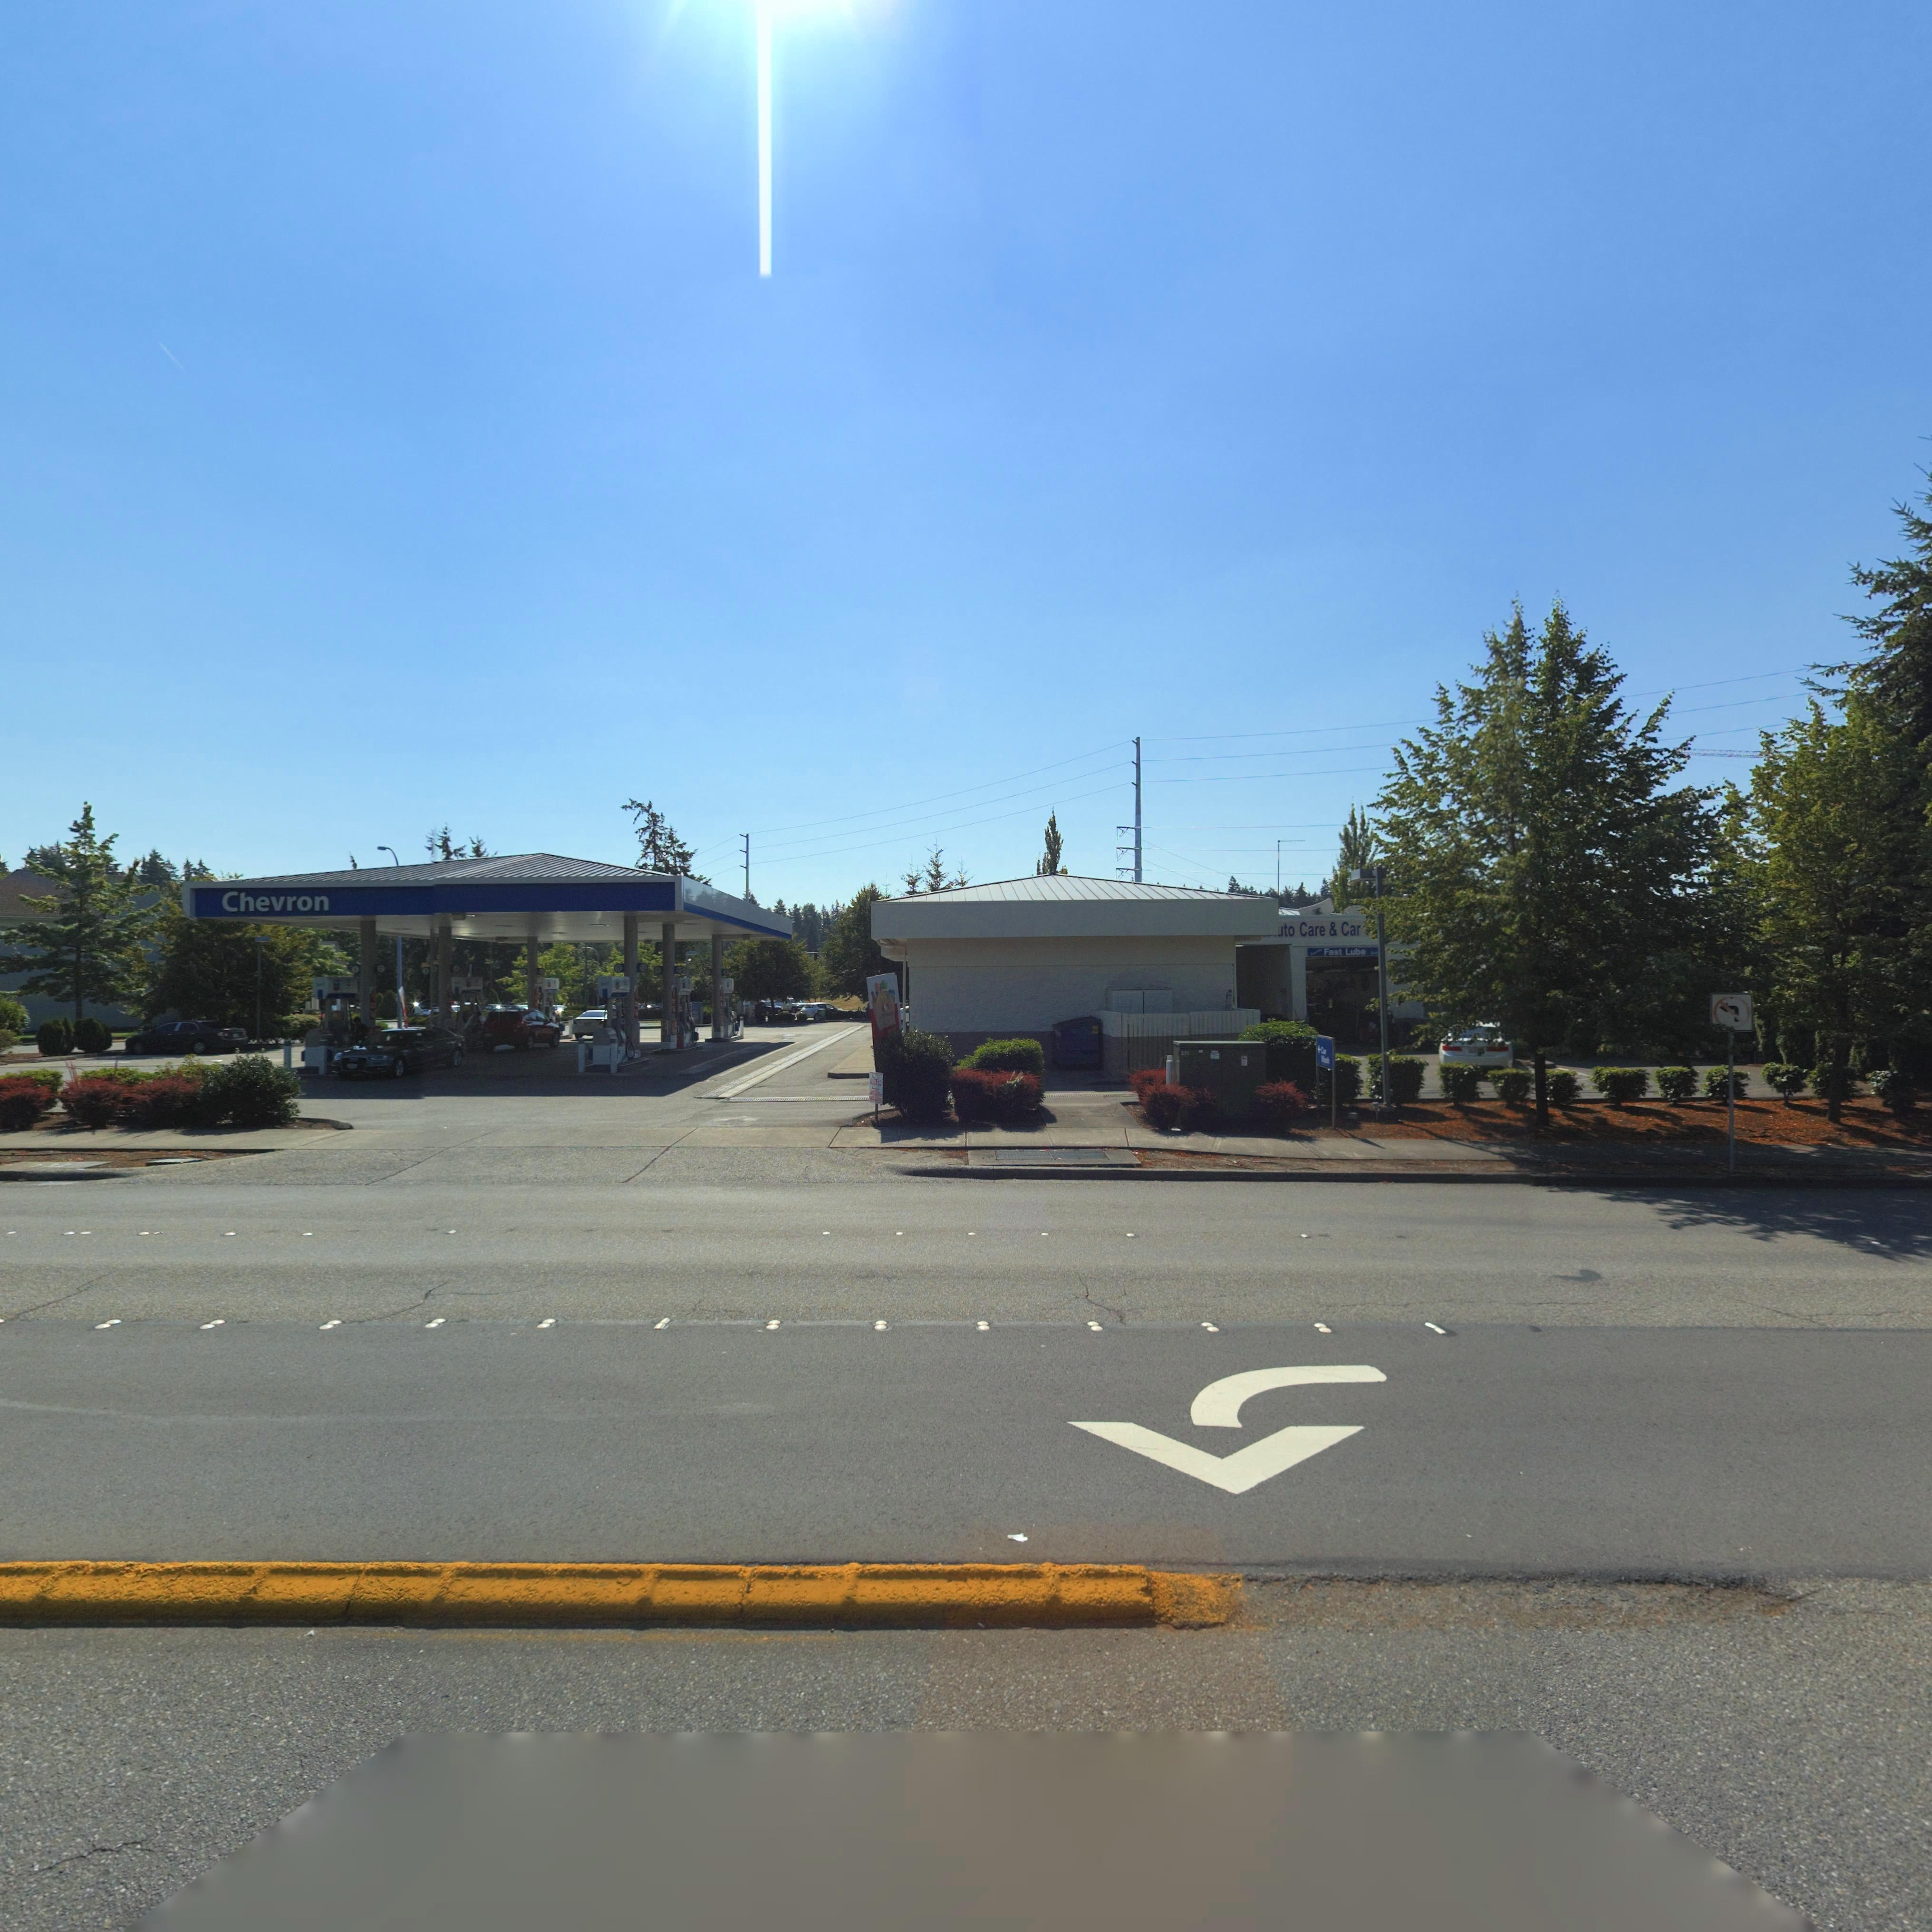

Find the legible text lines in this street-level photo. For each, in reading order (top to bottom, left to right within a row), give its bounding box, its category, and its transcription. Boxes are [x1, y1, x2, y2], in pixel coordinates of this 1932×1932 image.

[222, 891, 328, 911] BusinessName: Chevron
[1298, 919, 1363, 937] BusinessName: Care & Car
[1323, 946, 1368, 956] BusinessName: Fast Lube